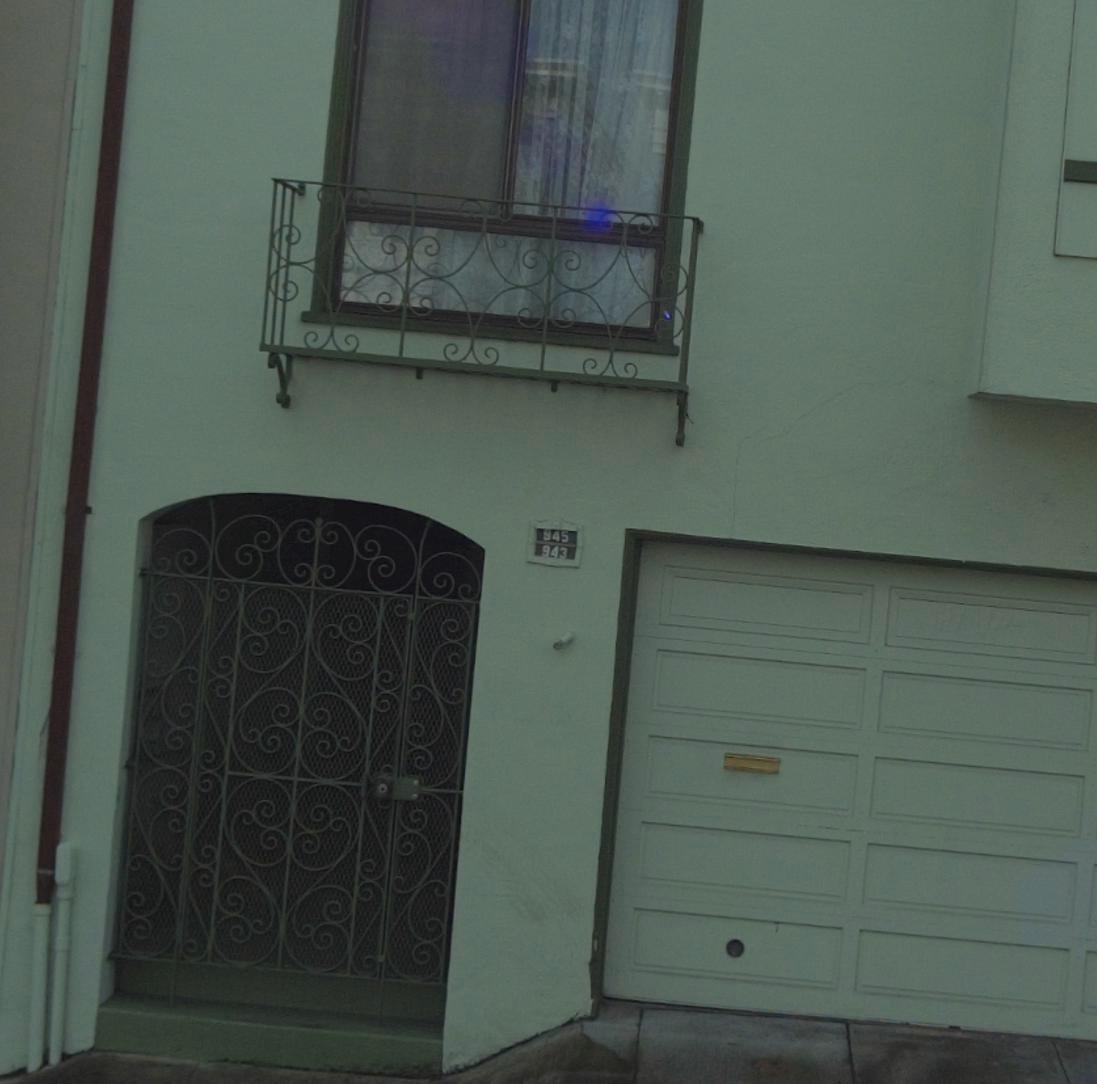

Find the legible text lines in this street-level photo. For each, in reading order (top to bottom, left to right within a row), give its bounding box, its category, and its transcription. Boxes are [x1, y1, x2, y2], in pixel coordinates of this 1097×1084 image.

[540, 528, 571, 545] StreetNumber: 945
[540, 543, 570, 562] StreetNumber: 945